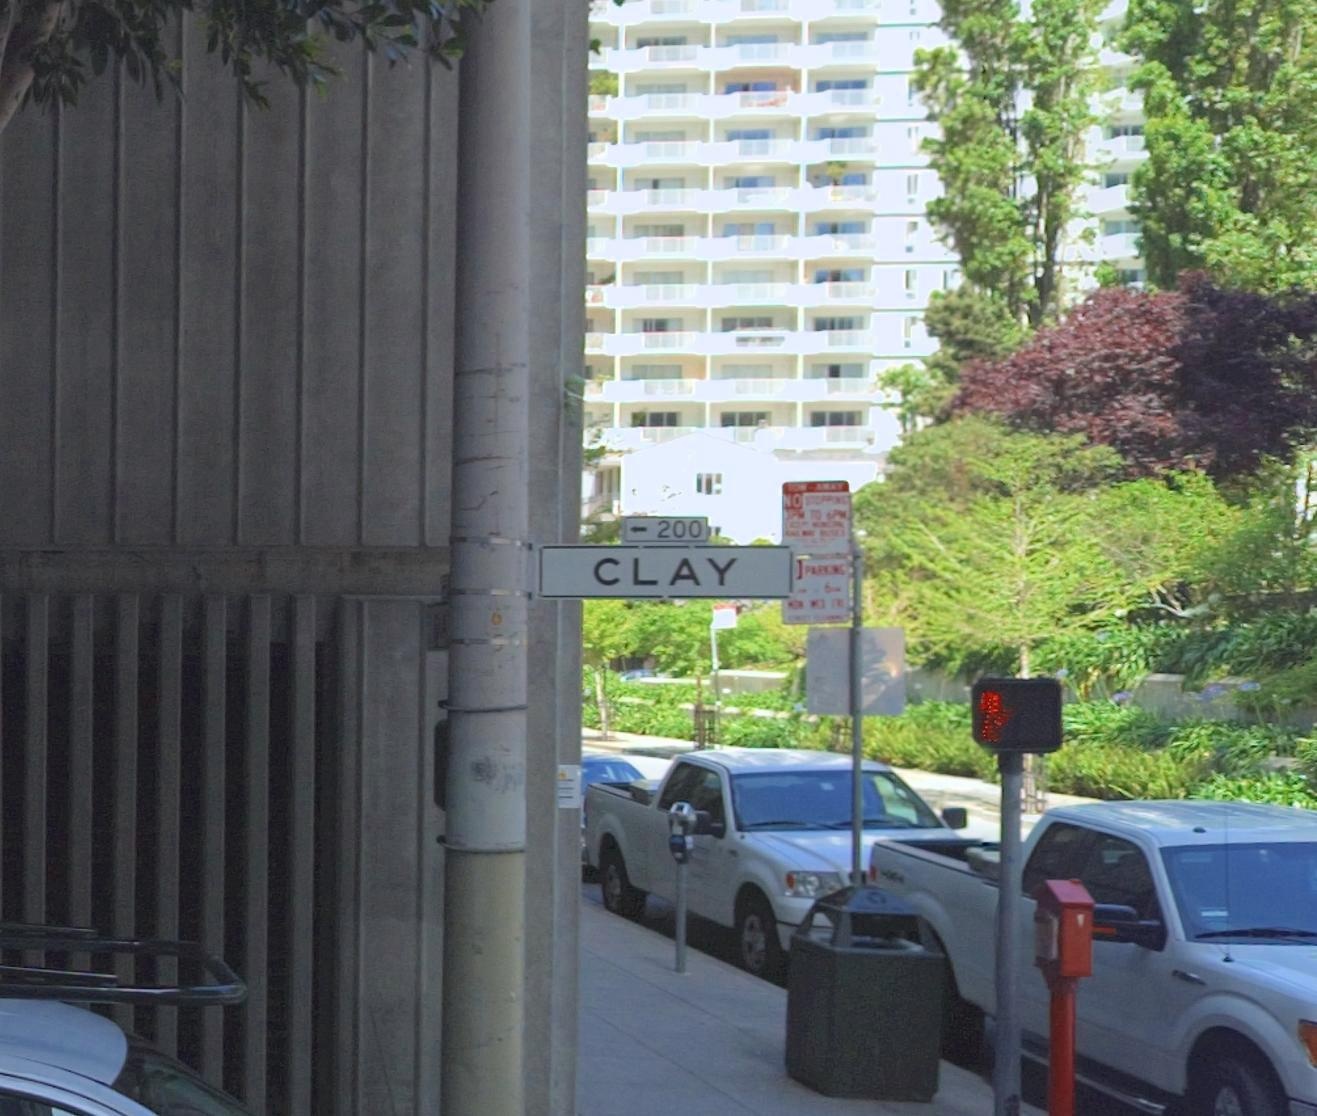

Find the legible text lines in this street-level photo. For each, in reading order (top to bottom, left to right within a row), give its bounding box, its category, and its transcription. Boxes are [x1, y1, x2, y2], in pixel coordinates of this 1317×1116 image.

[785, 481, 847, 494] None: TOW-AWAY
[783, 494, 804, 509] None: NO
[626, 518, 702, 538] StreetNumberRange: <-200
[591, 556, 741, 589] StreetName: CLAY